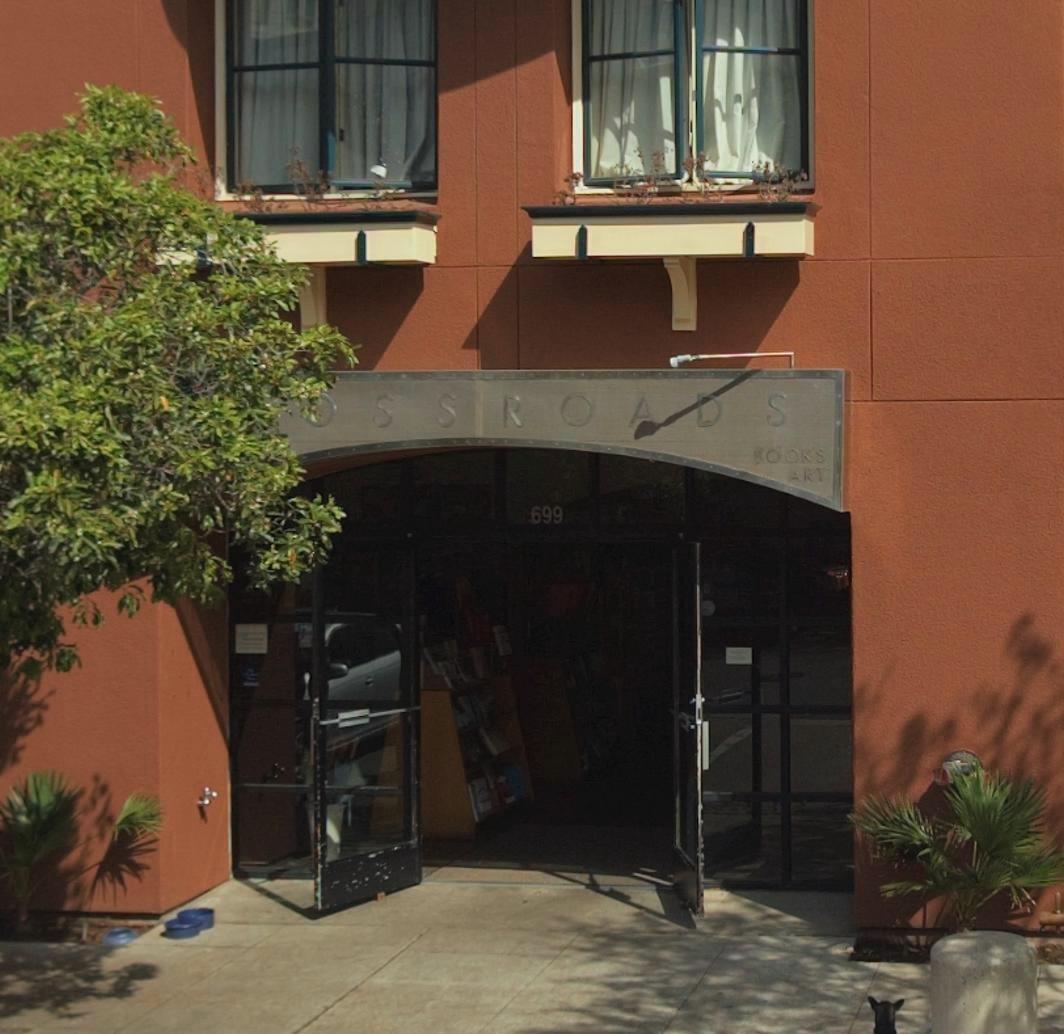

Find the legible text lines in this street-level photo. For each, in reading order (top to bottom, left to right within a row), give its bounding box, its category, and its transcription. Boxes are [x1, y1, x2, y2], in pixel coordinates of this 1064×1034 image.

[366, 386, 795, 433] BusinessName: SSROADS
[761, 445, 828, 466] None: OOKS
[787, 465, 827, 487] None: ART
[528, 502, 568, 527] StreetNumber: 699